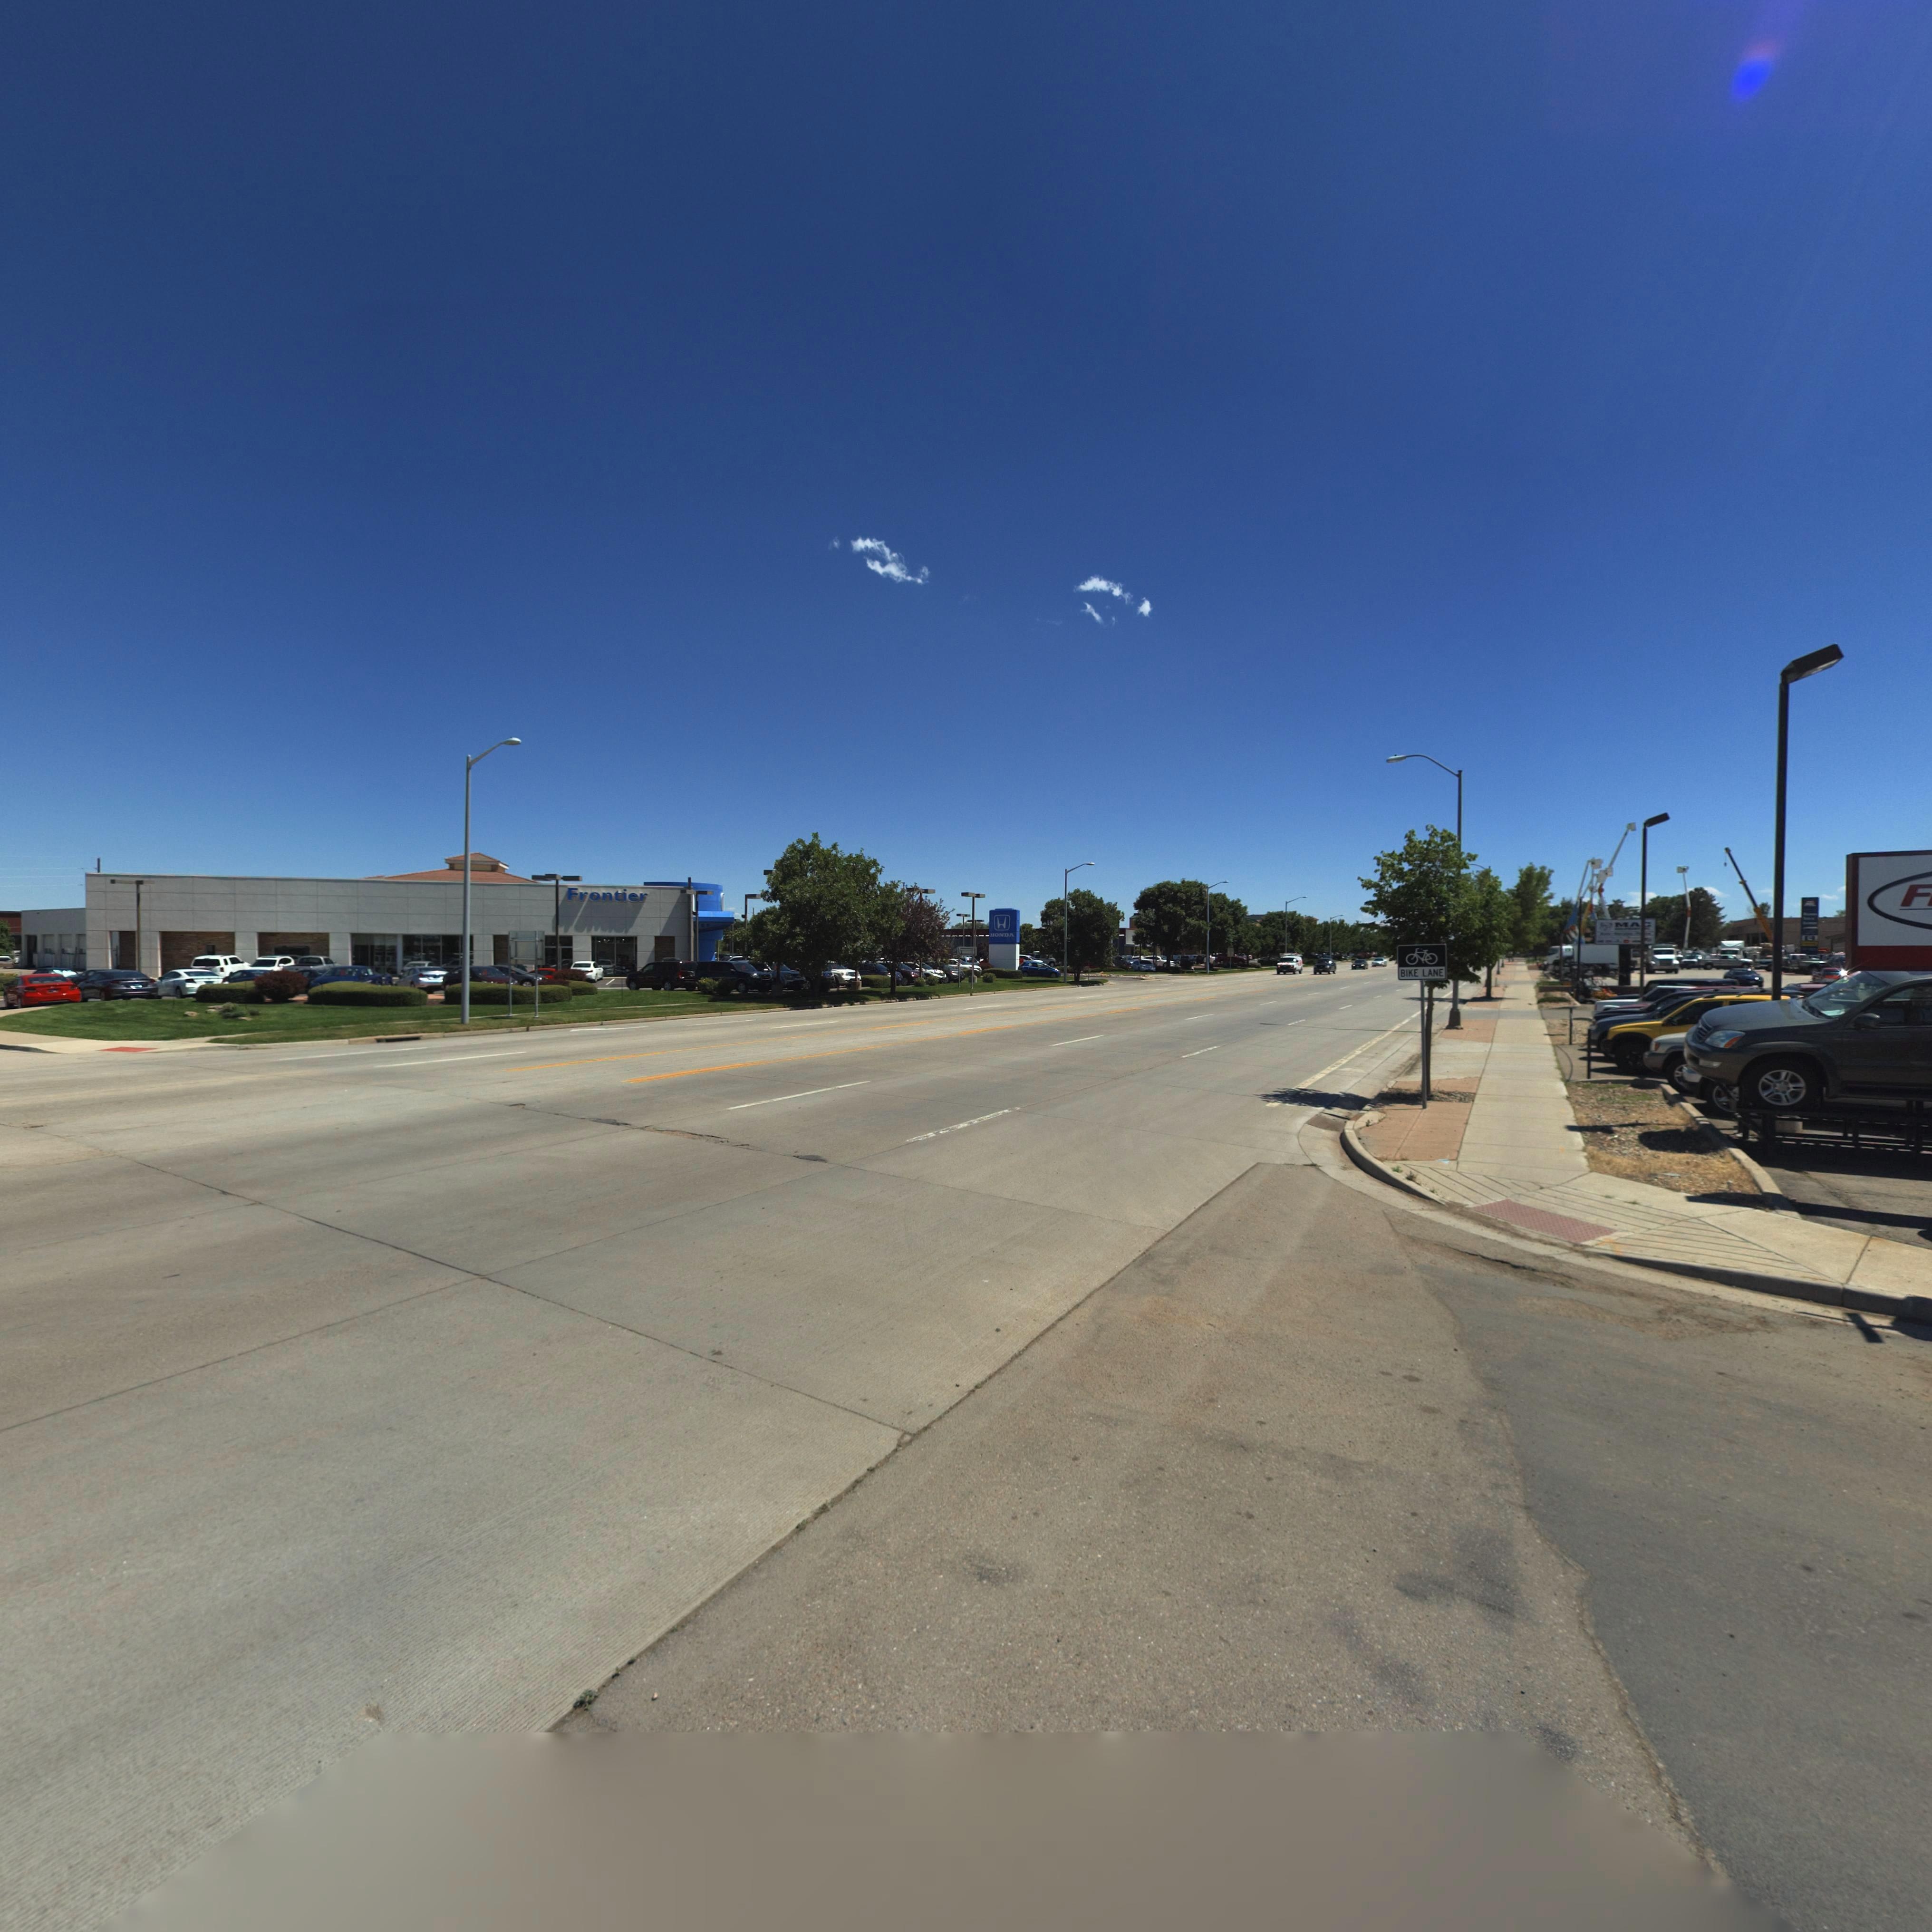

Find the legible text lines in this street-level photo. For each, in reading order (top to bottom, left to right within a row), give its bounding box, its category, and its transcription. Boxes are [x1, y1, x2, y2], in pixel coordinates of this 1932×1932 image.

[566, 887, 649, 903] BusinessName: Frontier
[1899, 883, 1932, 908] BusinessName: F
[1615, 922, 1652, 927] BusinessName: MA*
[990, 933, 1014, 937] BusinessName: HONDA